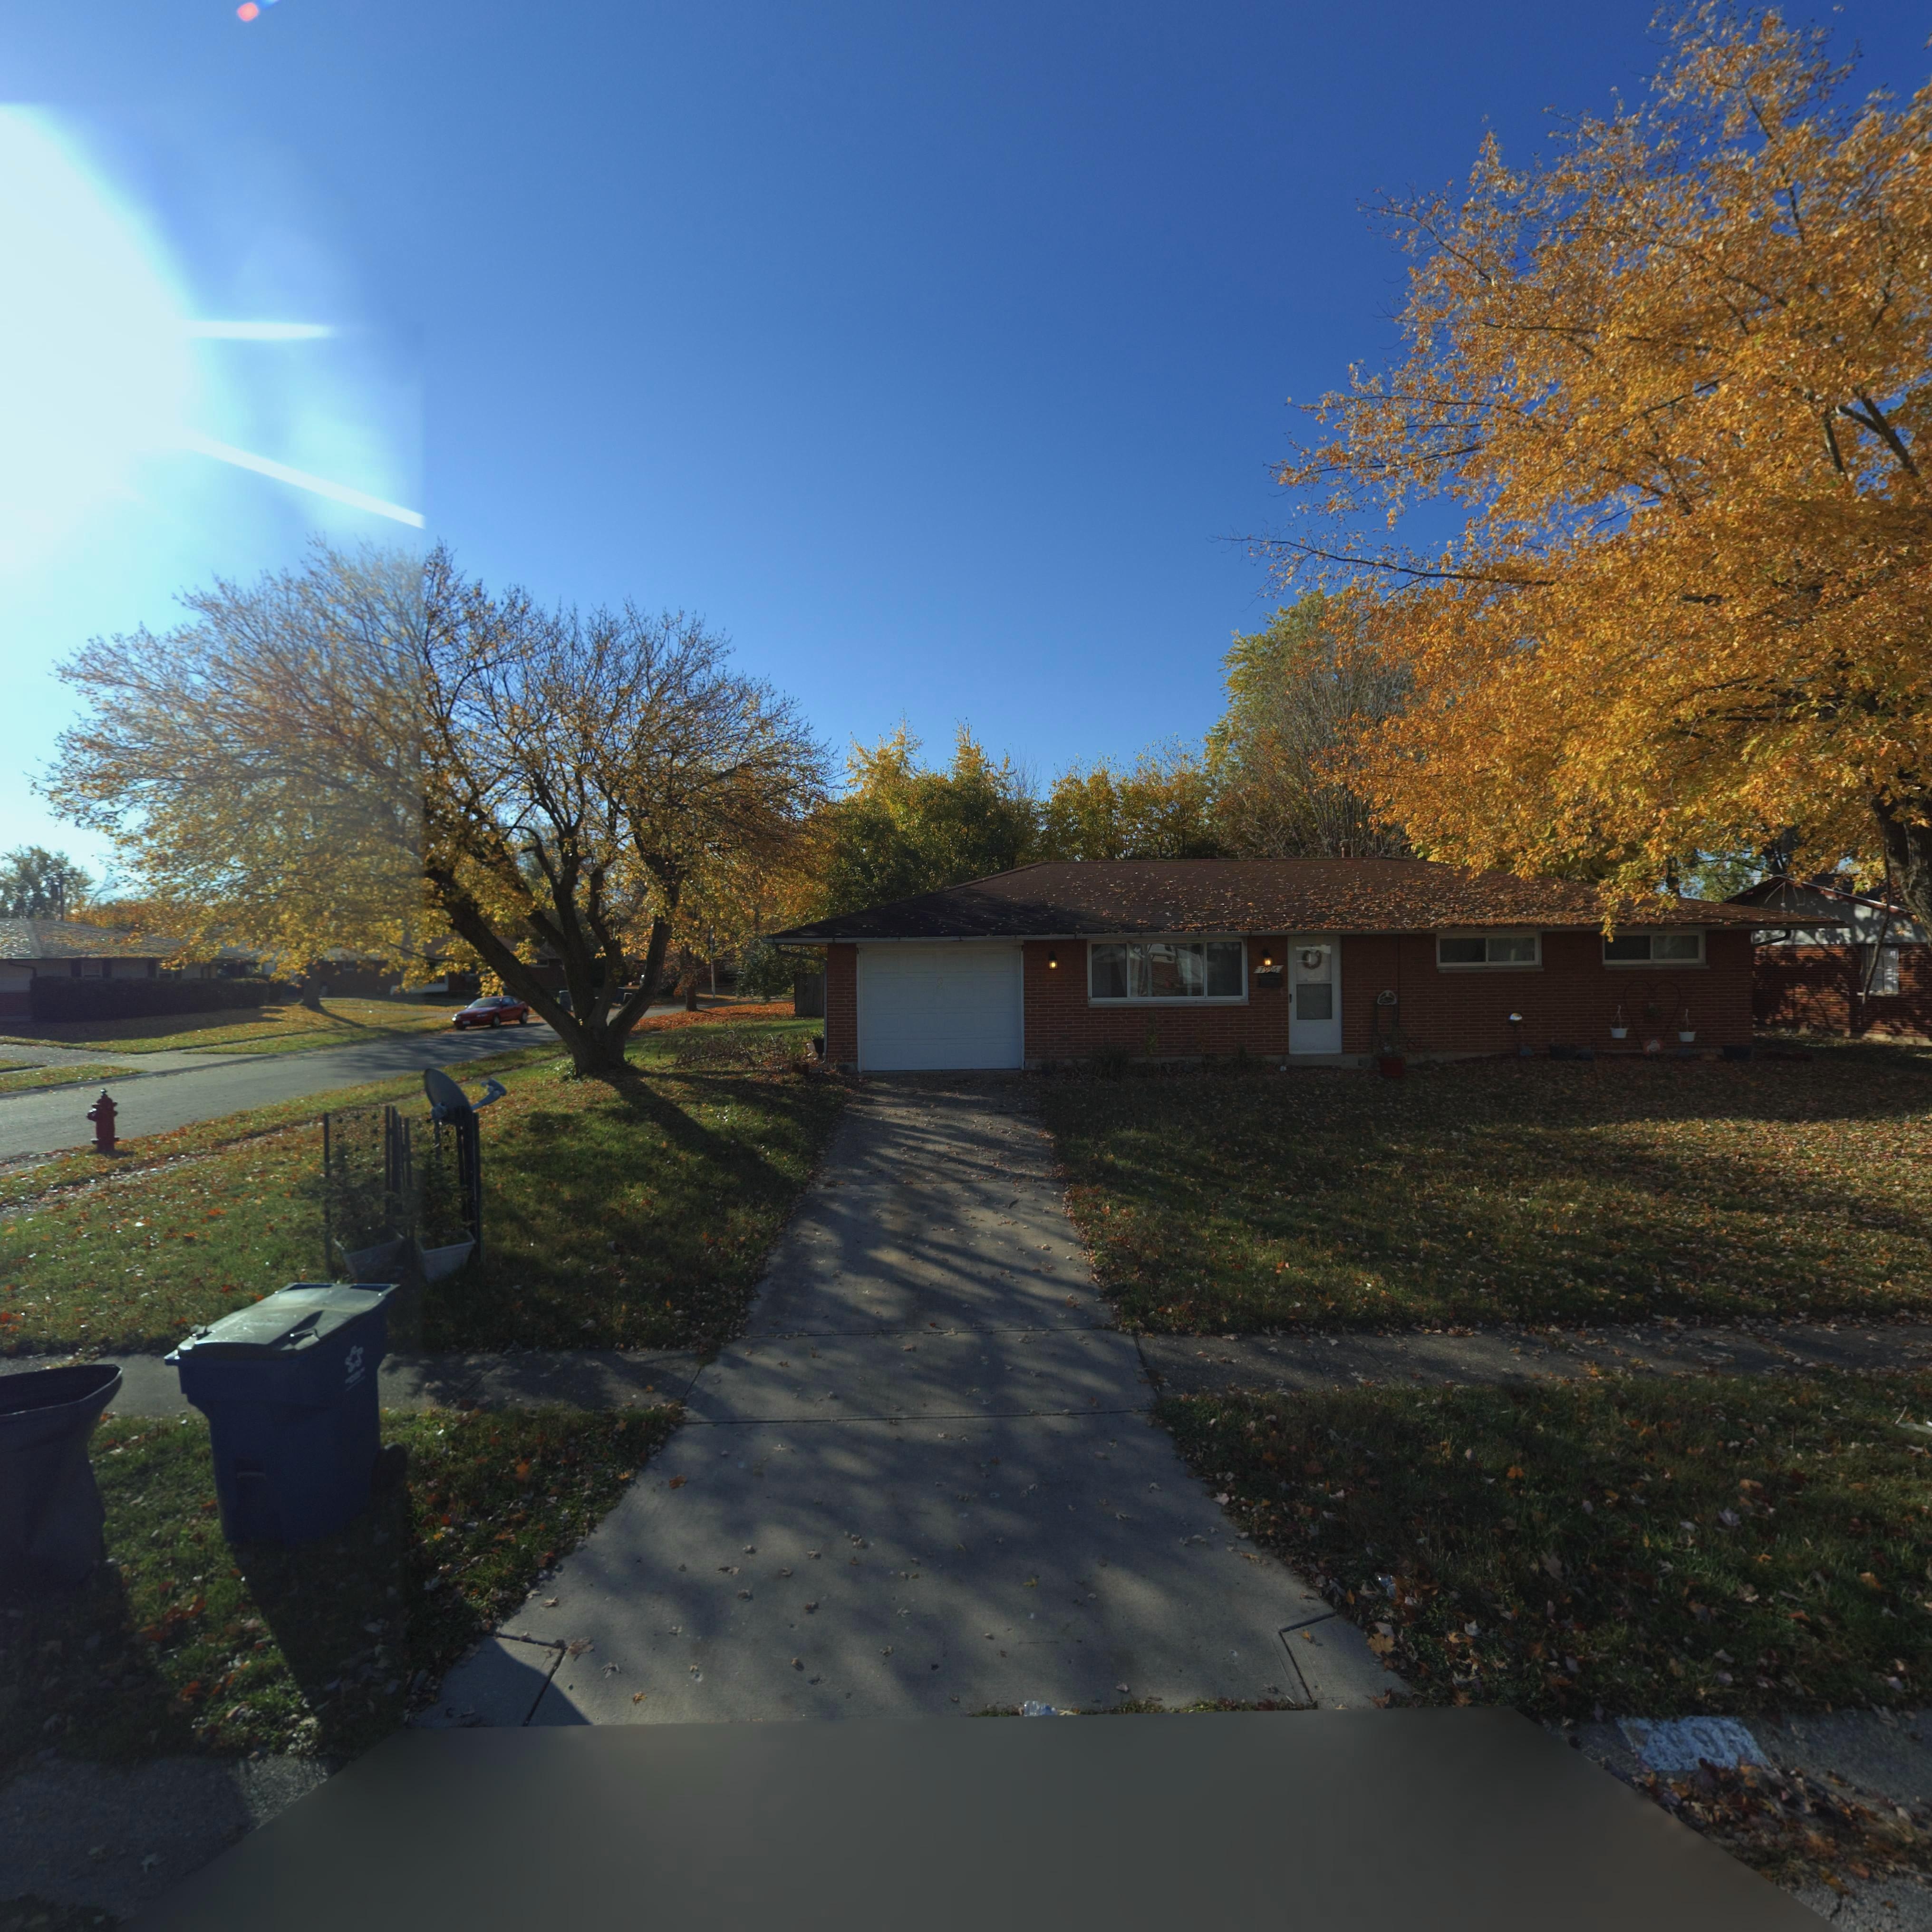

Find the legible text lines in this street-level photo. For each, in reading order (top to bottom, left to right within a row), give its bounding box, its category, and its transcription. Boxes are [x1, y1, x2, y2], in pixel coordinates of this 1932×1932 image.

[1259, 966, 1279, 973] StreetNumber: 7996
[1639, 1722, 1758, 1768] StreetNumber: **96